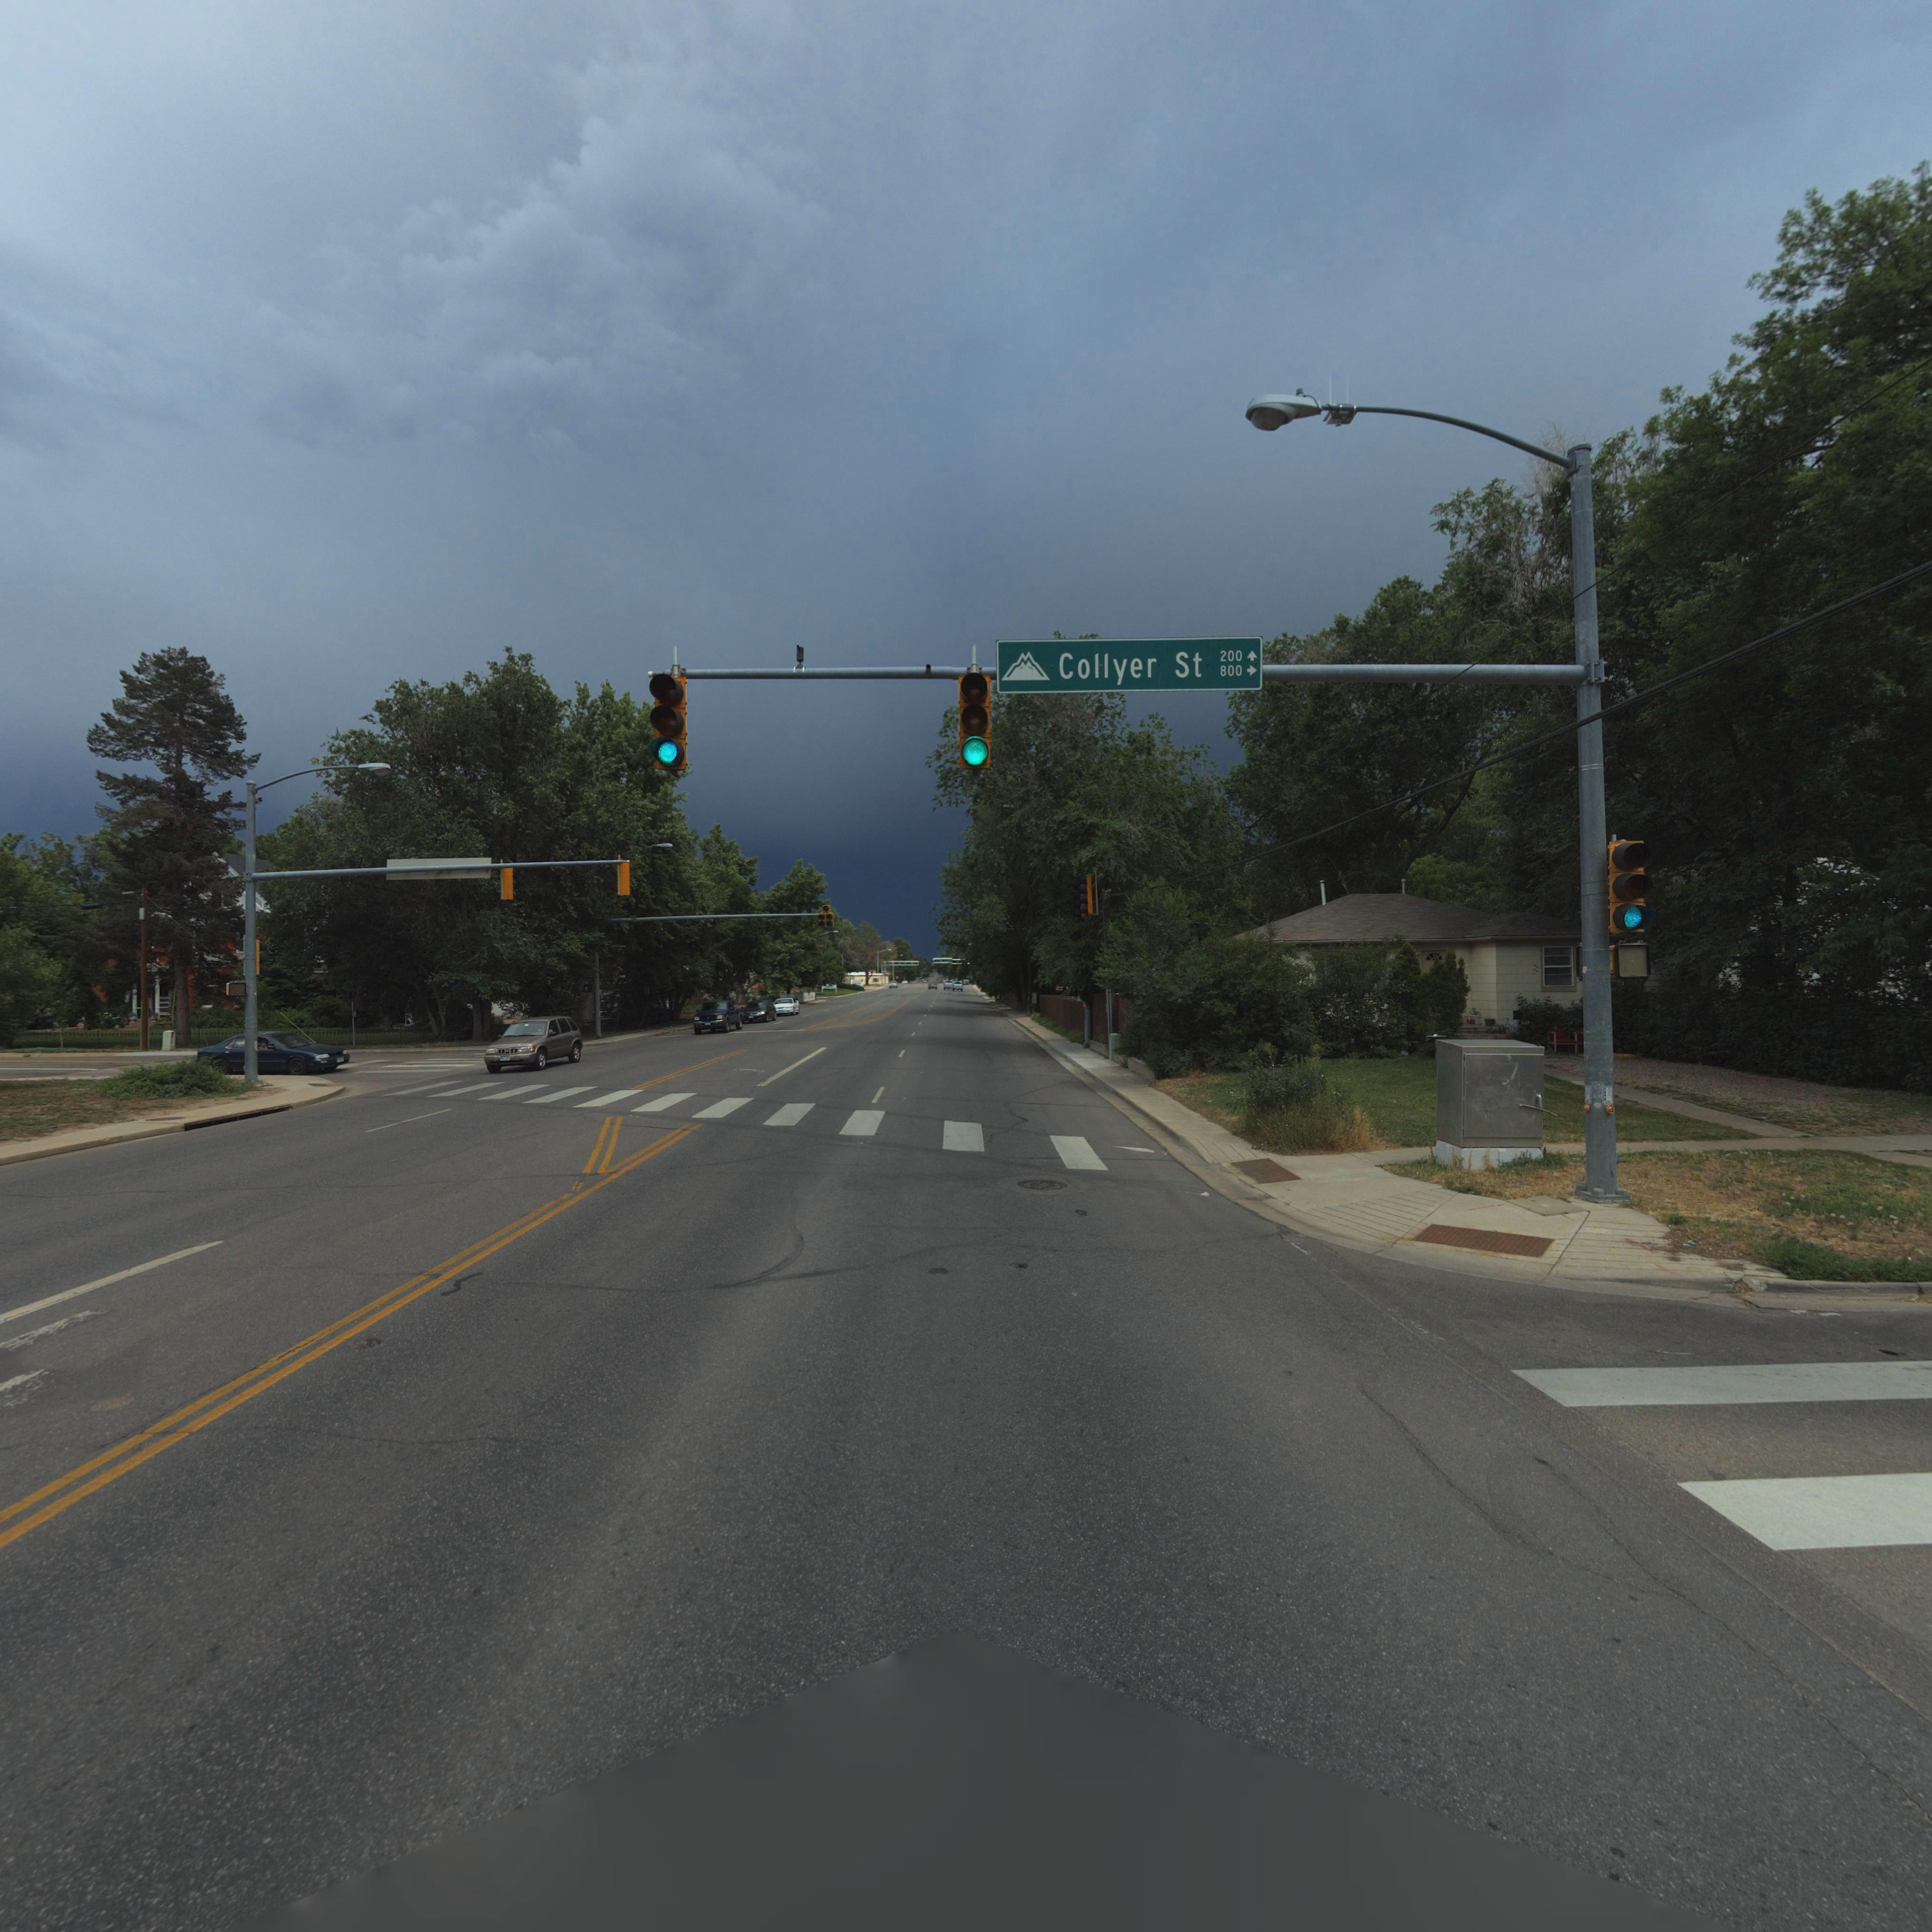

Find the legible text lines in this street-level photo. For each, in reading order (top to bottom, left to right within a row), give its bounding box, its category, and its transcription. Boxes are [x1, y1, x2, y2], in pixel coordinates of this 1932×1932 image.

[1220, 649, 1242, 662] StreetNumberRange: 200
[1058, 650, 1203, 686] StreetName: Collyer St
[1219, 664, 1257, 676] StreetNumberRange: 800->